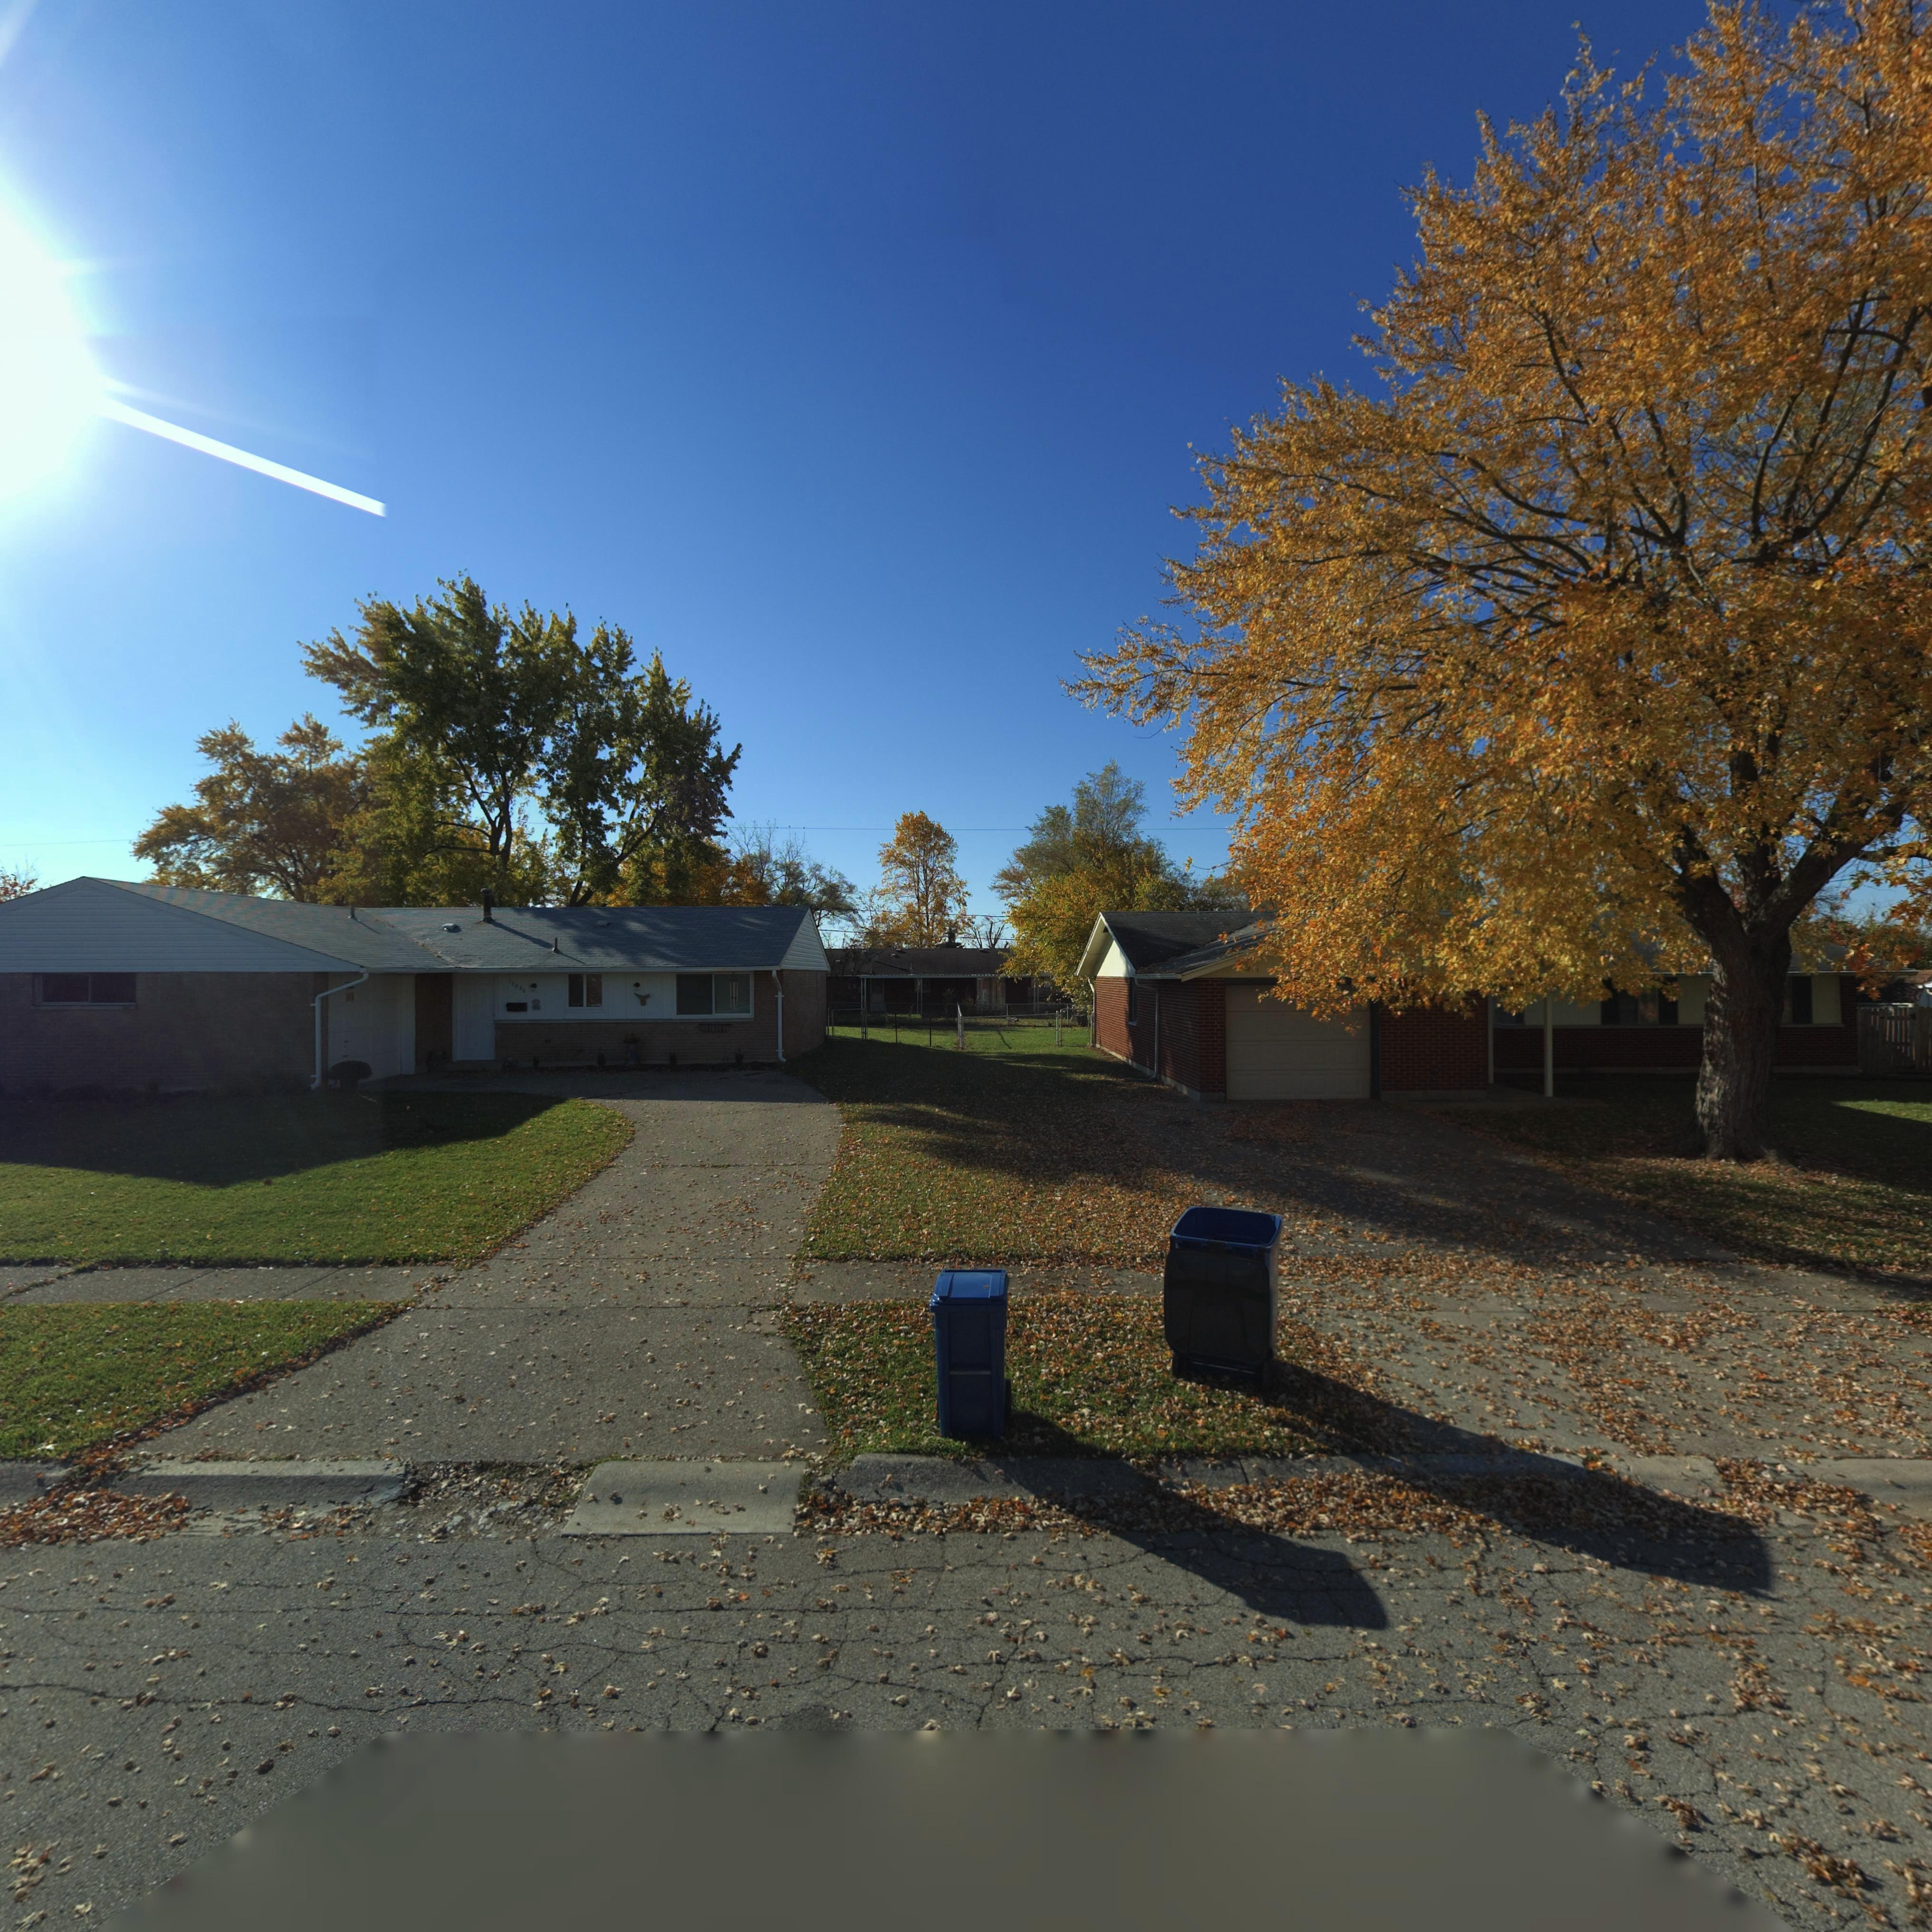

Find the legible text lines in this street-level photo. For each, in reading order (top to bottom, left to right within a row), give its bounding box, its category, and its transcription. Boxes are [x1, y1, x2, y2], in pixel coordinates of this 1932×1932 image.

[511, 981, 526, 994] StreetNumber: 7830